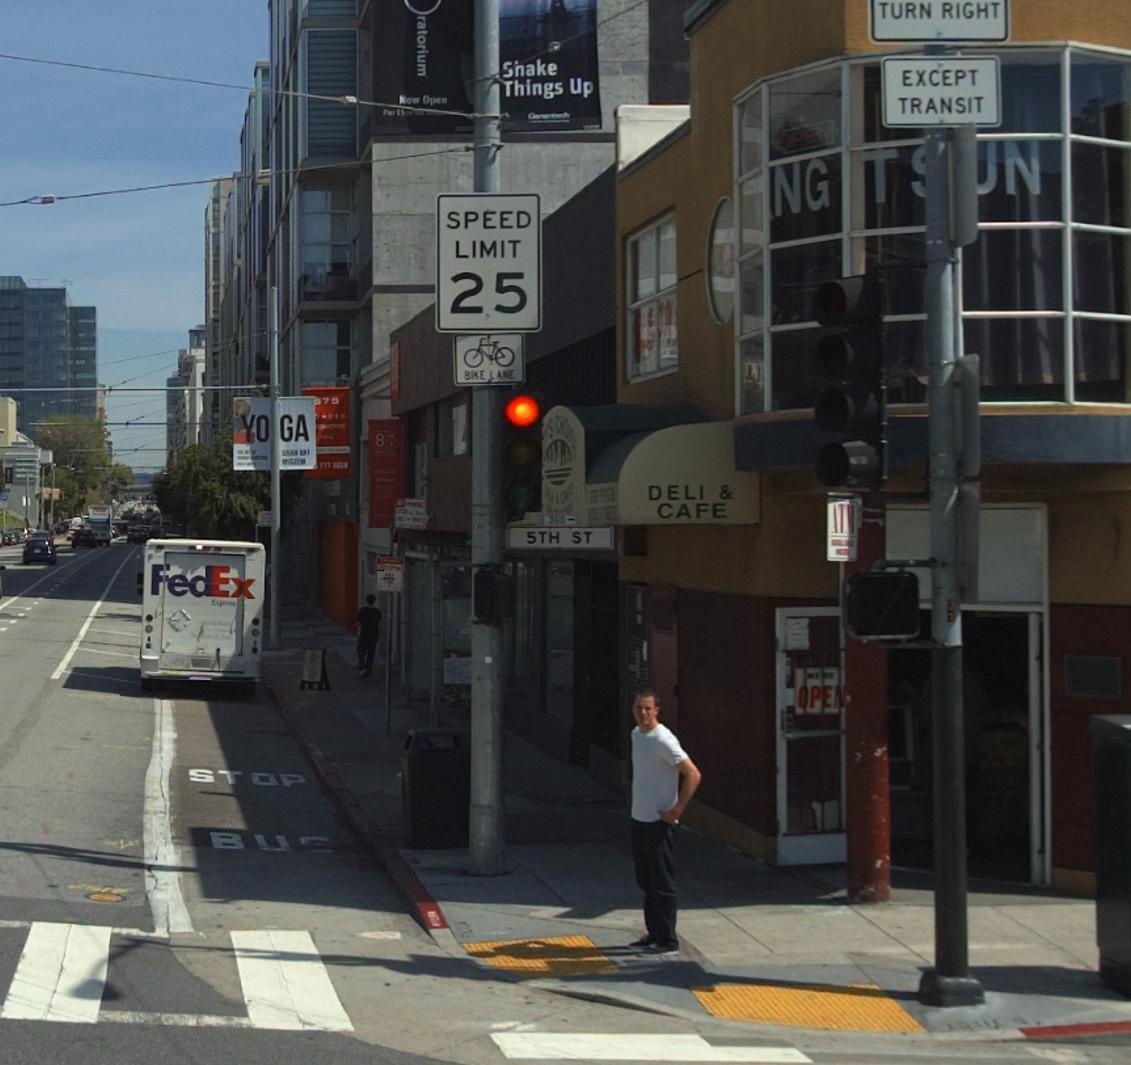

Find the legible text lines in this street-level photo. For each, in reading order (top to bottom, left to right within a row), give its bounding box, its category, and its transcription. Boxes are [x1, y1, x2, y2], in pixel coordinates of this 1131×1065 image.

[875, 0, 1006, 21] None: TURN RIGHT
[415, 15, 430, 78] None: ratorium
[500, 57, 559, 78] None: Shake
[504, 76, 595, 101] None: This Up
[898, 69, 983, 89] None: EXCEPT
[398, 94, 447, 108] None: Now Open
[896, 96, 985, 115] None: TRANSIT
[777, 121, 834, 151] None: OPEN
[773, 152, 832, 218] None: NG
[859, 147, 903, 205] None: T
[1001, 137, 1043, 195] None: N
[446, 209, 534, 229] None: SPEED
[453, 237, 522, 260] None: LIMT
[447, 269, 528, 317] None: 25
[463, 369, 514, 381] None: BIKE LANE
[321, 396, 339, 405] None: 75
[241, 412, 310, 445] None: YO*GA]
[374, 432, 385, 447] None: 8
[647, 484, 736, 502] None: DELI &
[547, 516, 577, 524] StreetNumberRange: 3*0->
[656, 502, 728, 519] None: CAFE
[829, 502, 854, 536] None: ATM
[523, 530, 595, 545] StreetName: 5TH ST
[147, 563, 256, 599] None: FedEX
[946, 598, 955, 623] None: 31
[795, 682, 844, 710] None: OPEN
[186, 766, 309, 788] None: STOP
[209, 828, 335, 855] None: BUS